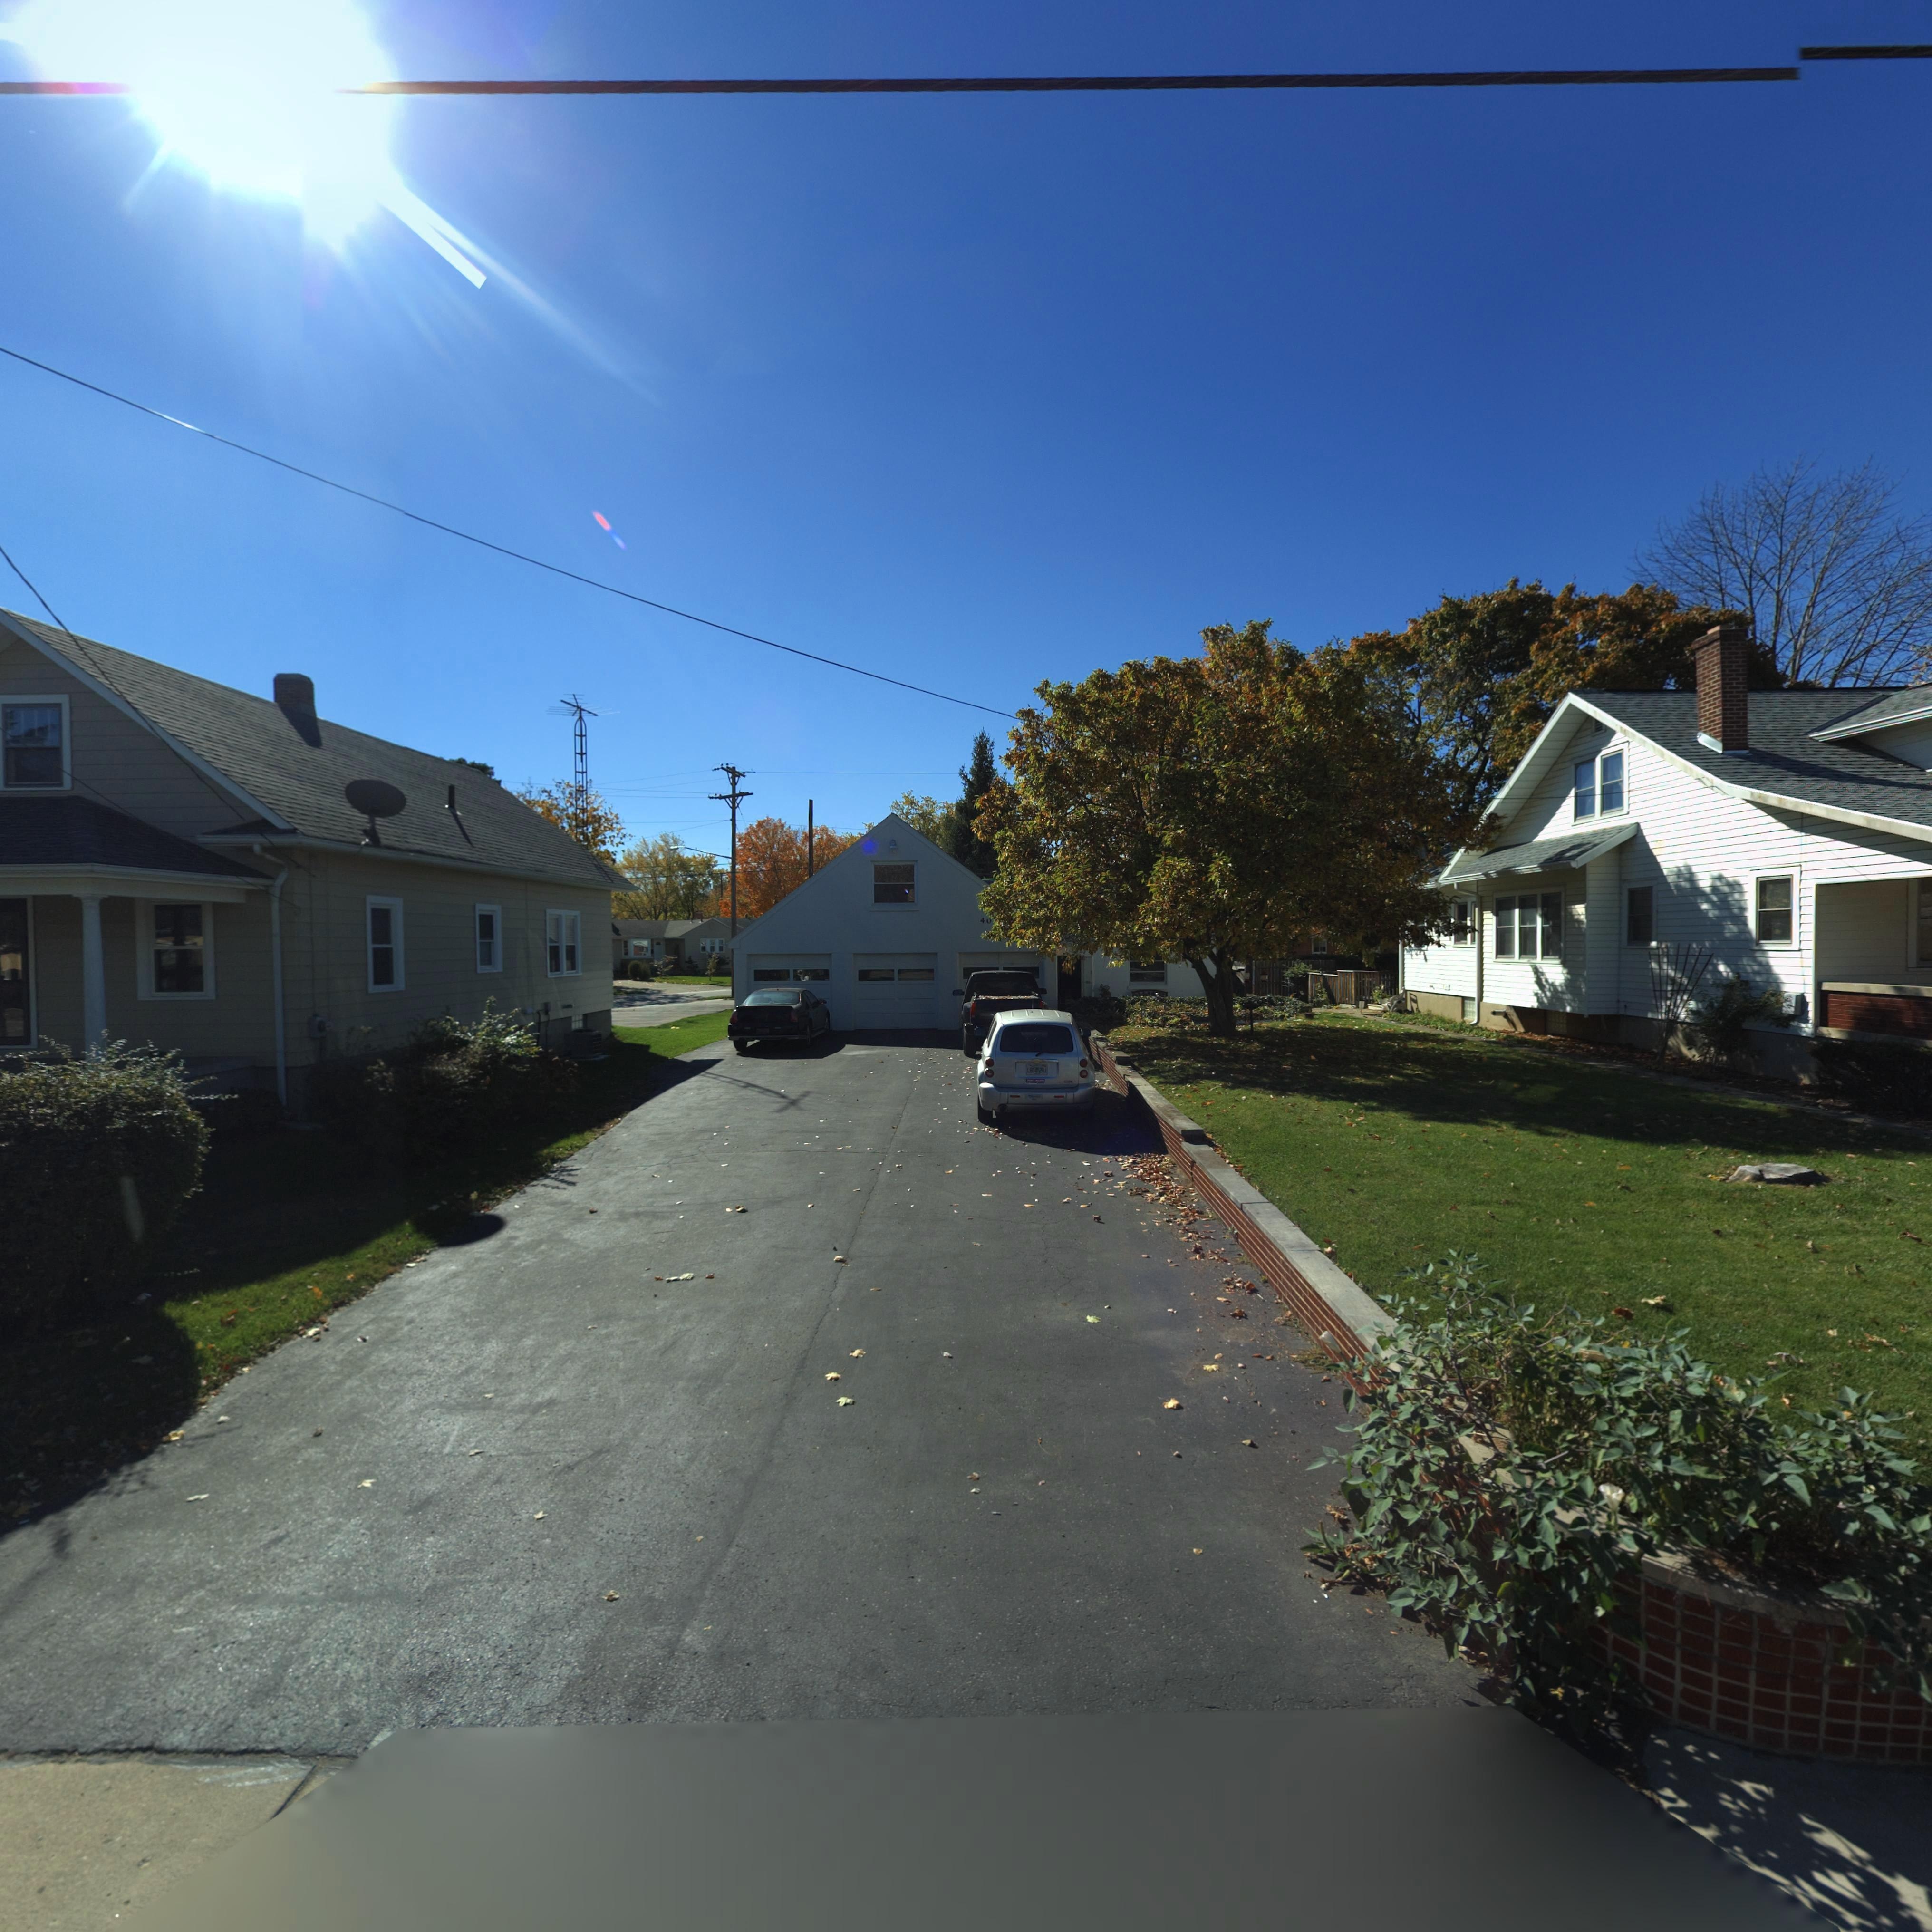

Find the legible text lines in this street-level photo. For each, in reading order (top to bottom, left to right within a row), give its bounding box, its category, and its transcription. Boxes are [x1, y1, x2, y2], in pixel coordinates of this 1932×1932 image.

[978, 916, 993, 925] StreetNumber: 40
[1026, 1067, 1047, 1073] None: LB***2**